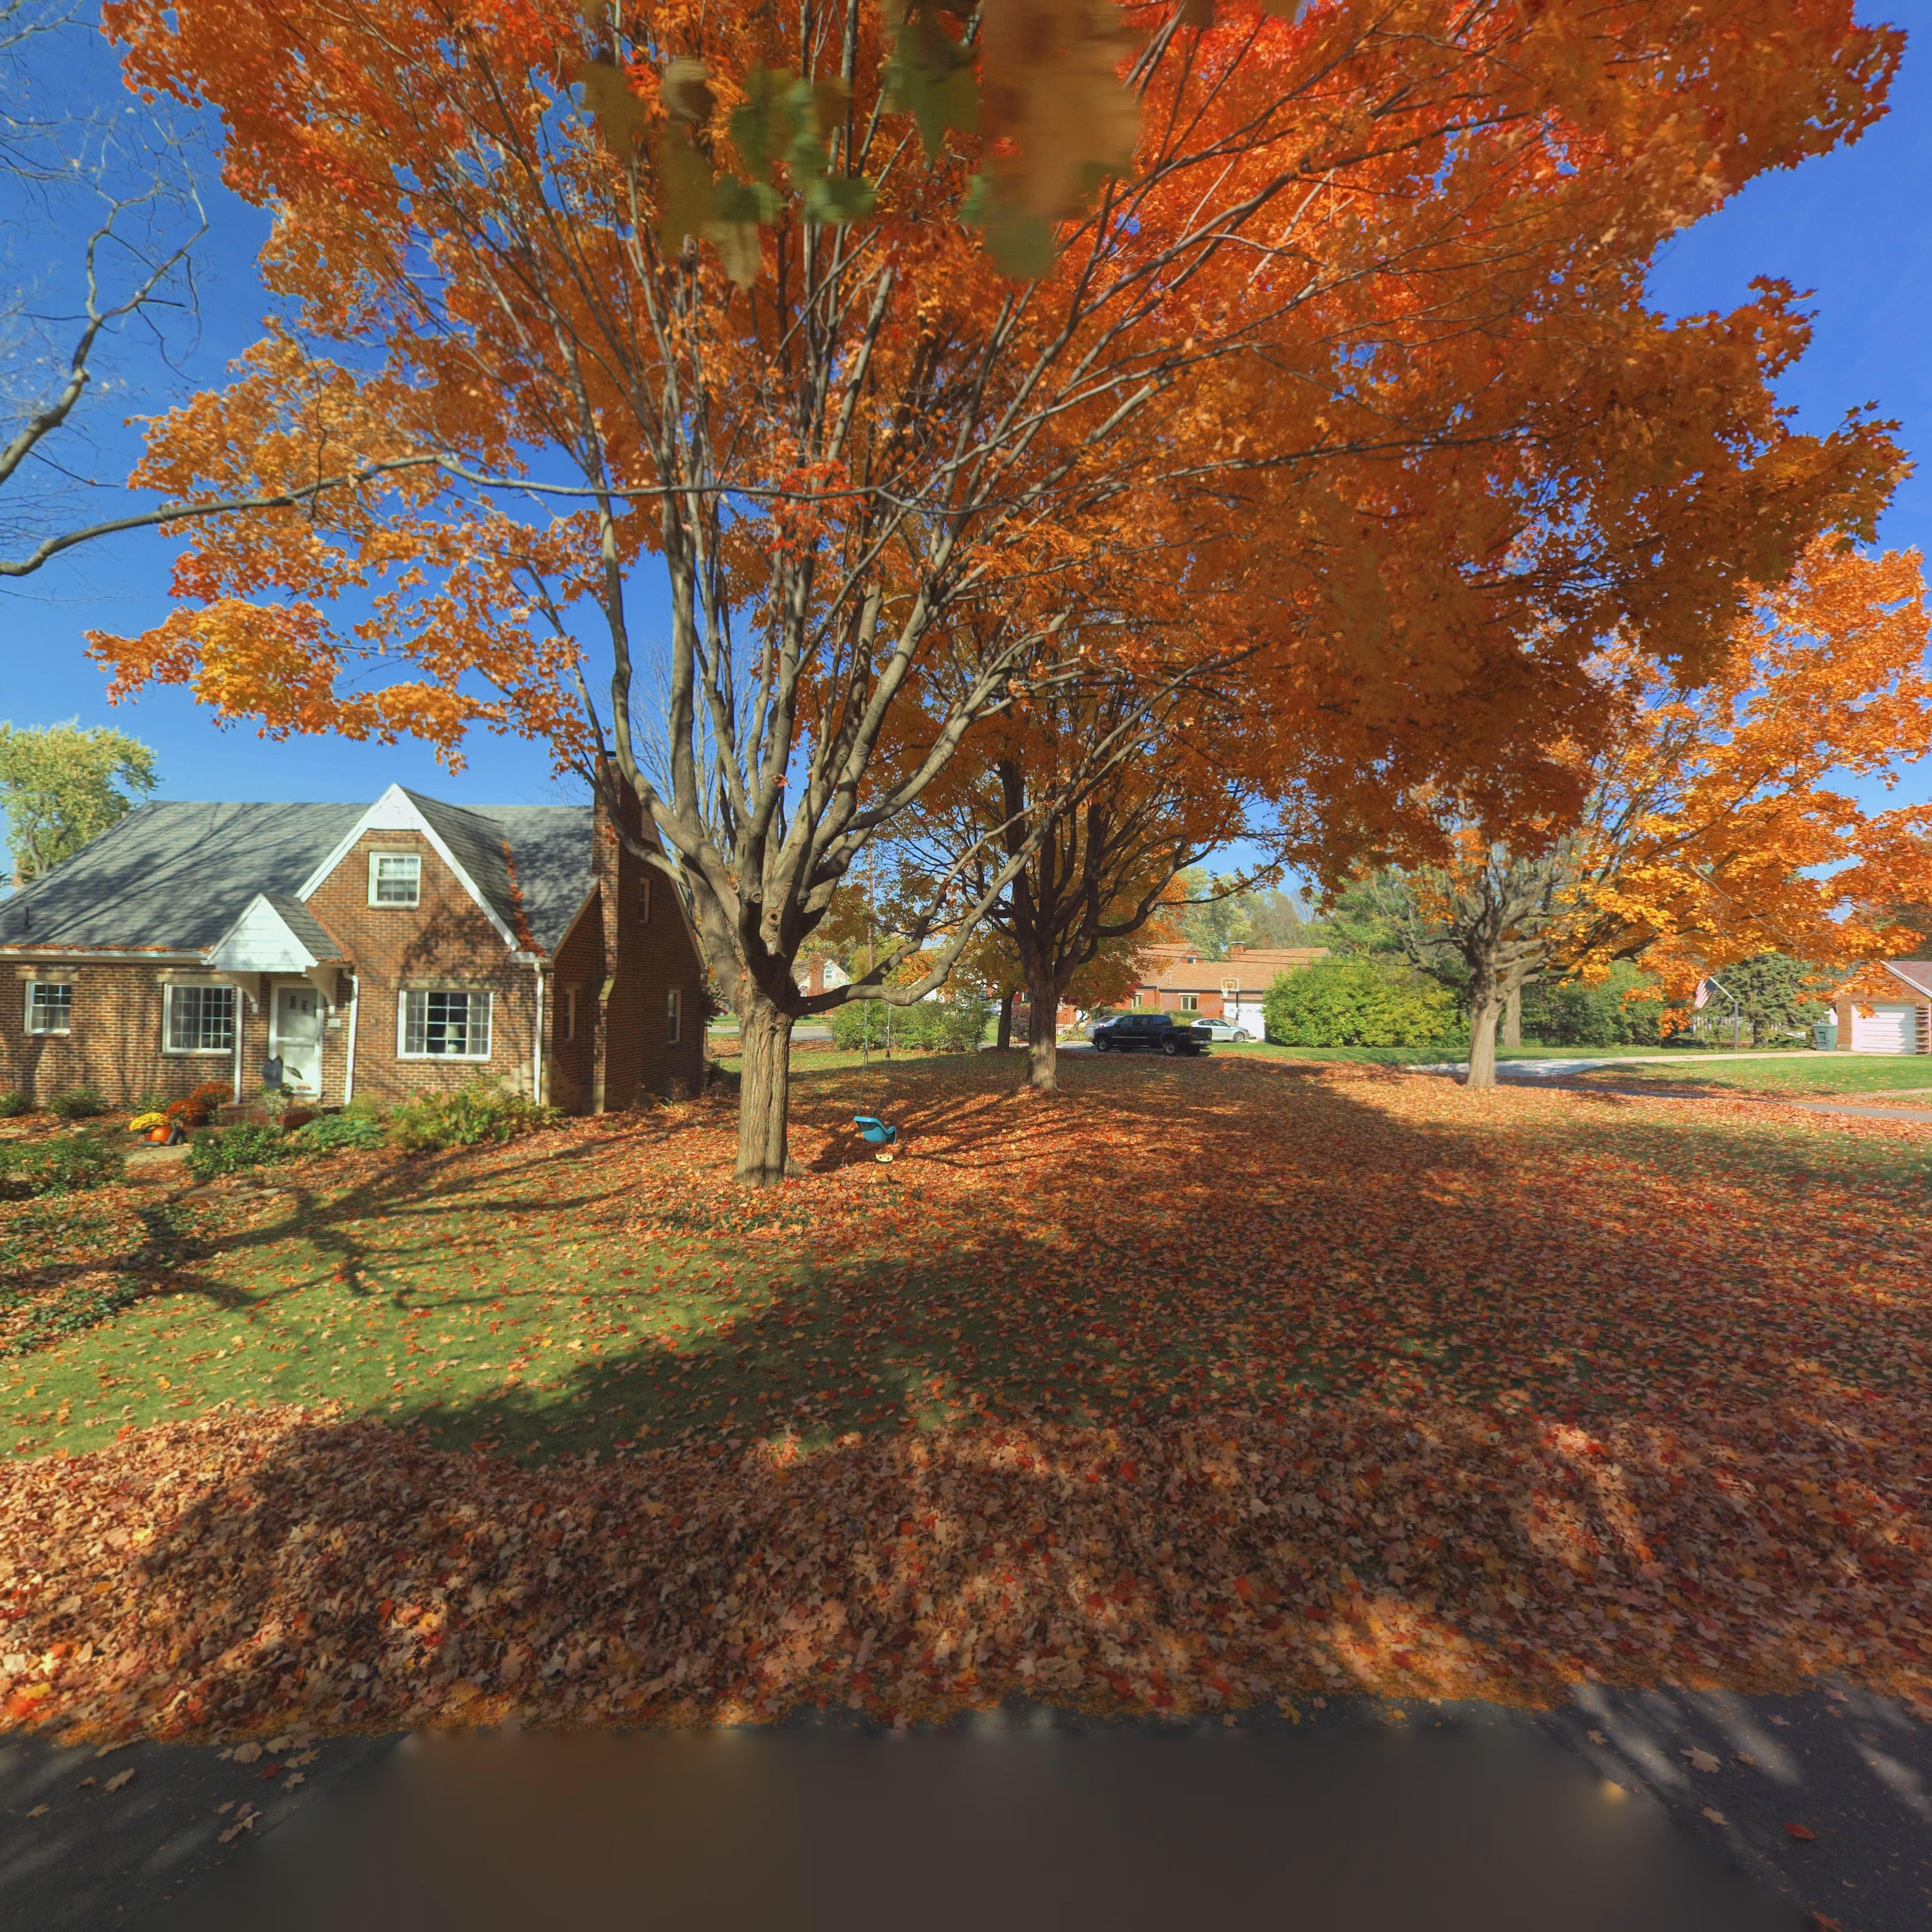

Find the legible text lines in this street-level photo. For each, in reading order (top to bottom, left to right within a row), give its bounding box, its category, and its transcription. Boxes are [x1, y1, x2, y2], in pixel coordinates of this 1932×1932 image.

[328, 1020, 338, 1026] StreetNumber: 621